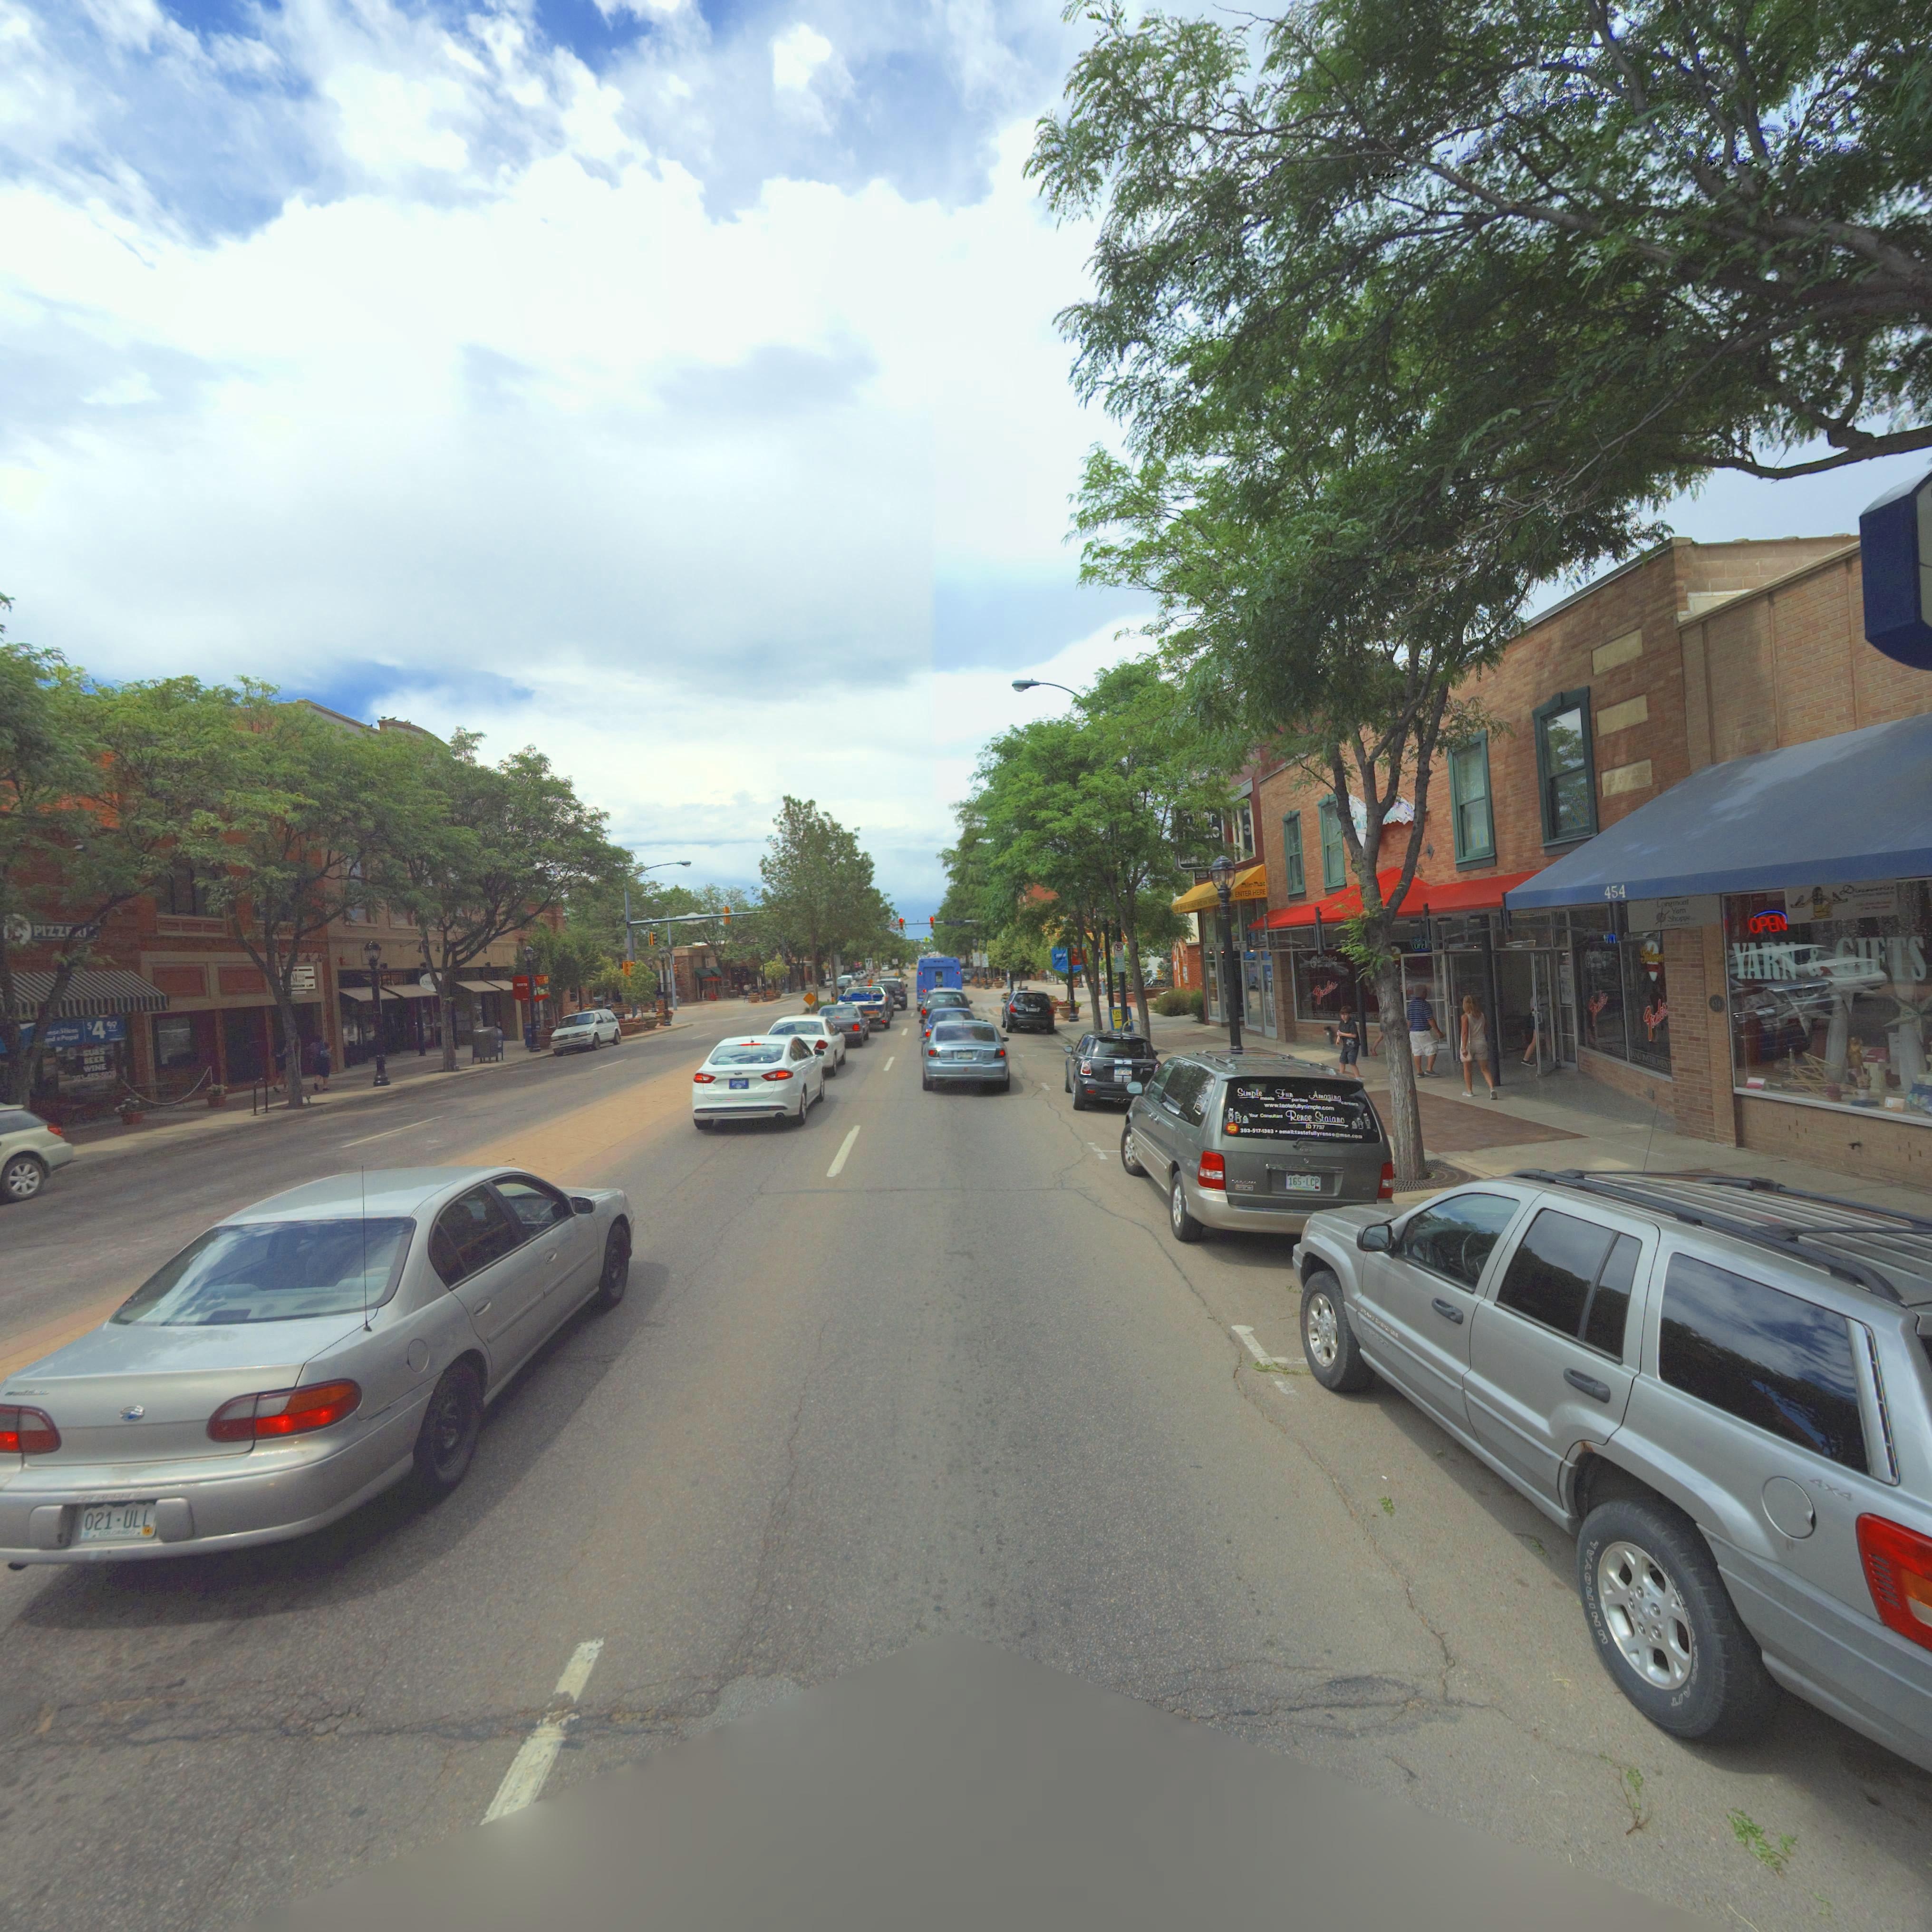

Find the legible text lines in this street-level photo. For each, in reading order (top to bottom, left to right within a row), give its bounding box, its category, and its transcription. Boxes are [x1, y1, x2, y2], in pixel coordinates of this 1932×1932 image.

[1181, 808, 1217, 825] BusinessName: M**er
[1181, 824, 1219, 840] BusinessName: Music
[1241, 881, 1265, 889] BusinessName: M**** M*sic
[1604, 884, 1626, 899] StreetNumber: 454
[1839, 884, 1894, 895] BusinessName: D*********
[1656, 898, 1689, 908] BusinessName: Lo**mont
[1671, 907, 1686, 914] BusinessName: Yarn
[1667, 914, 1692, 923] BusinessName: Shopp*
[34, 924, 97, 937] BusinessName: * PIZZ**I*
[420, 979, 435, 985] BusinessName: A*****
[1711, 1000, 1720, 1007] StreetNumber: *5*